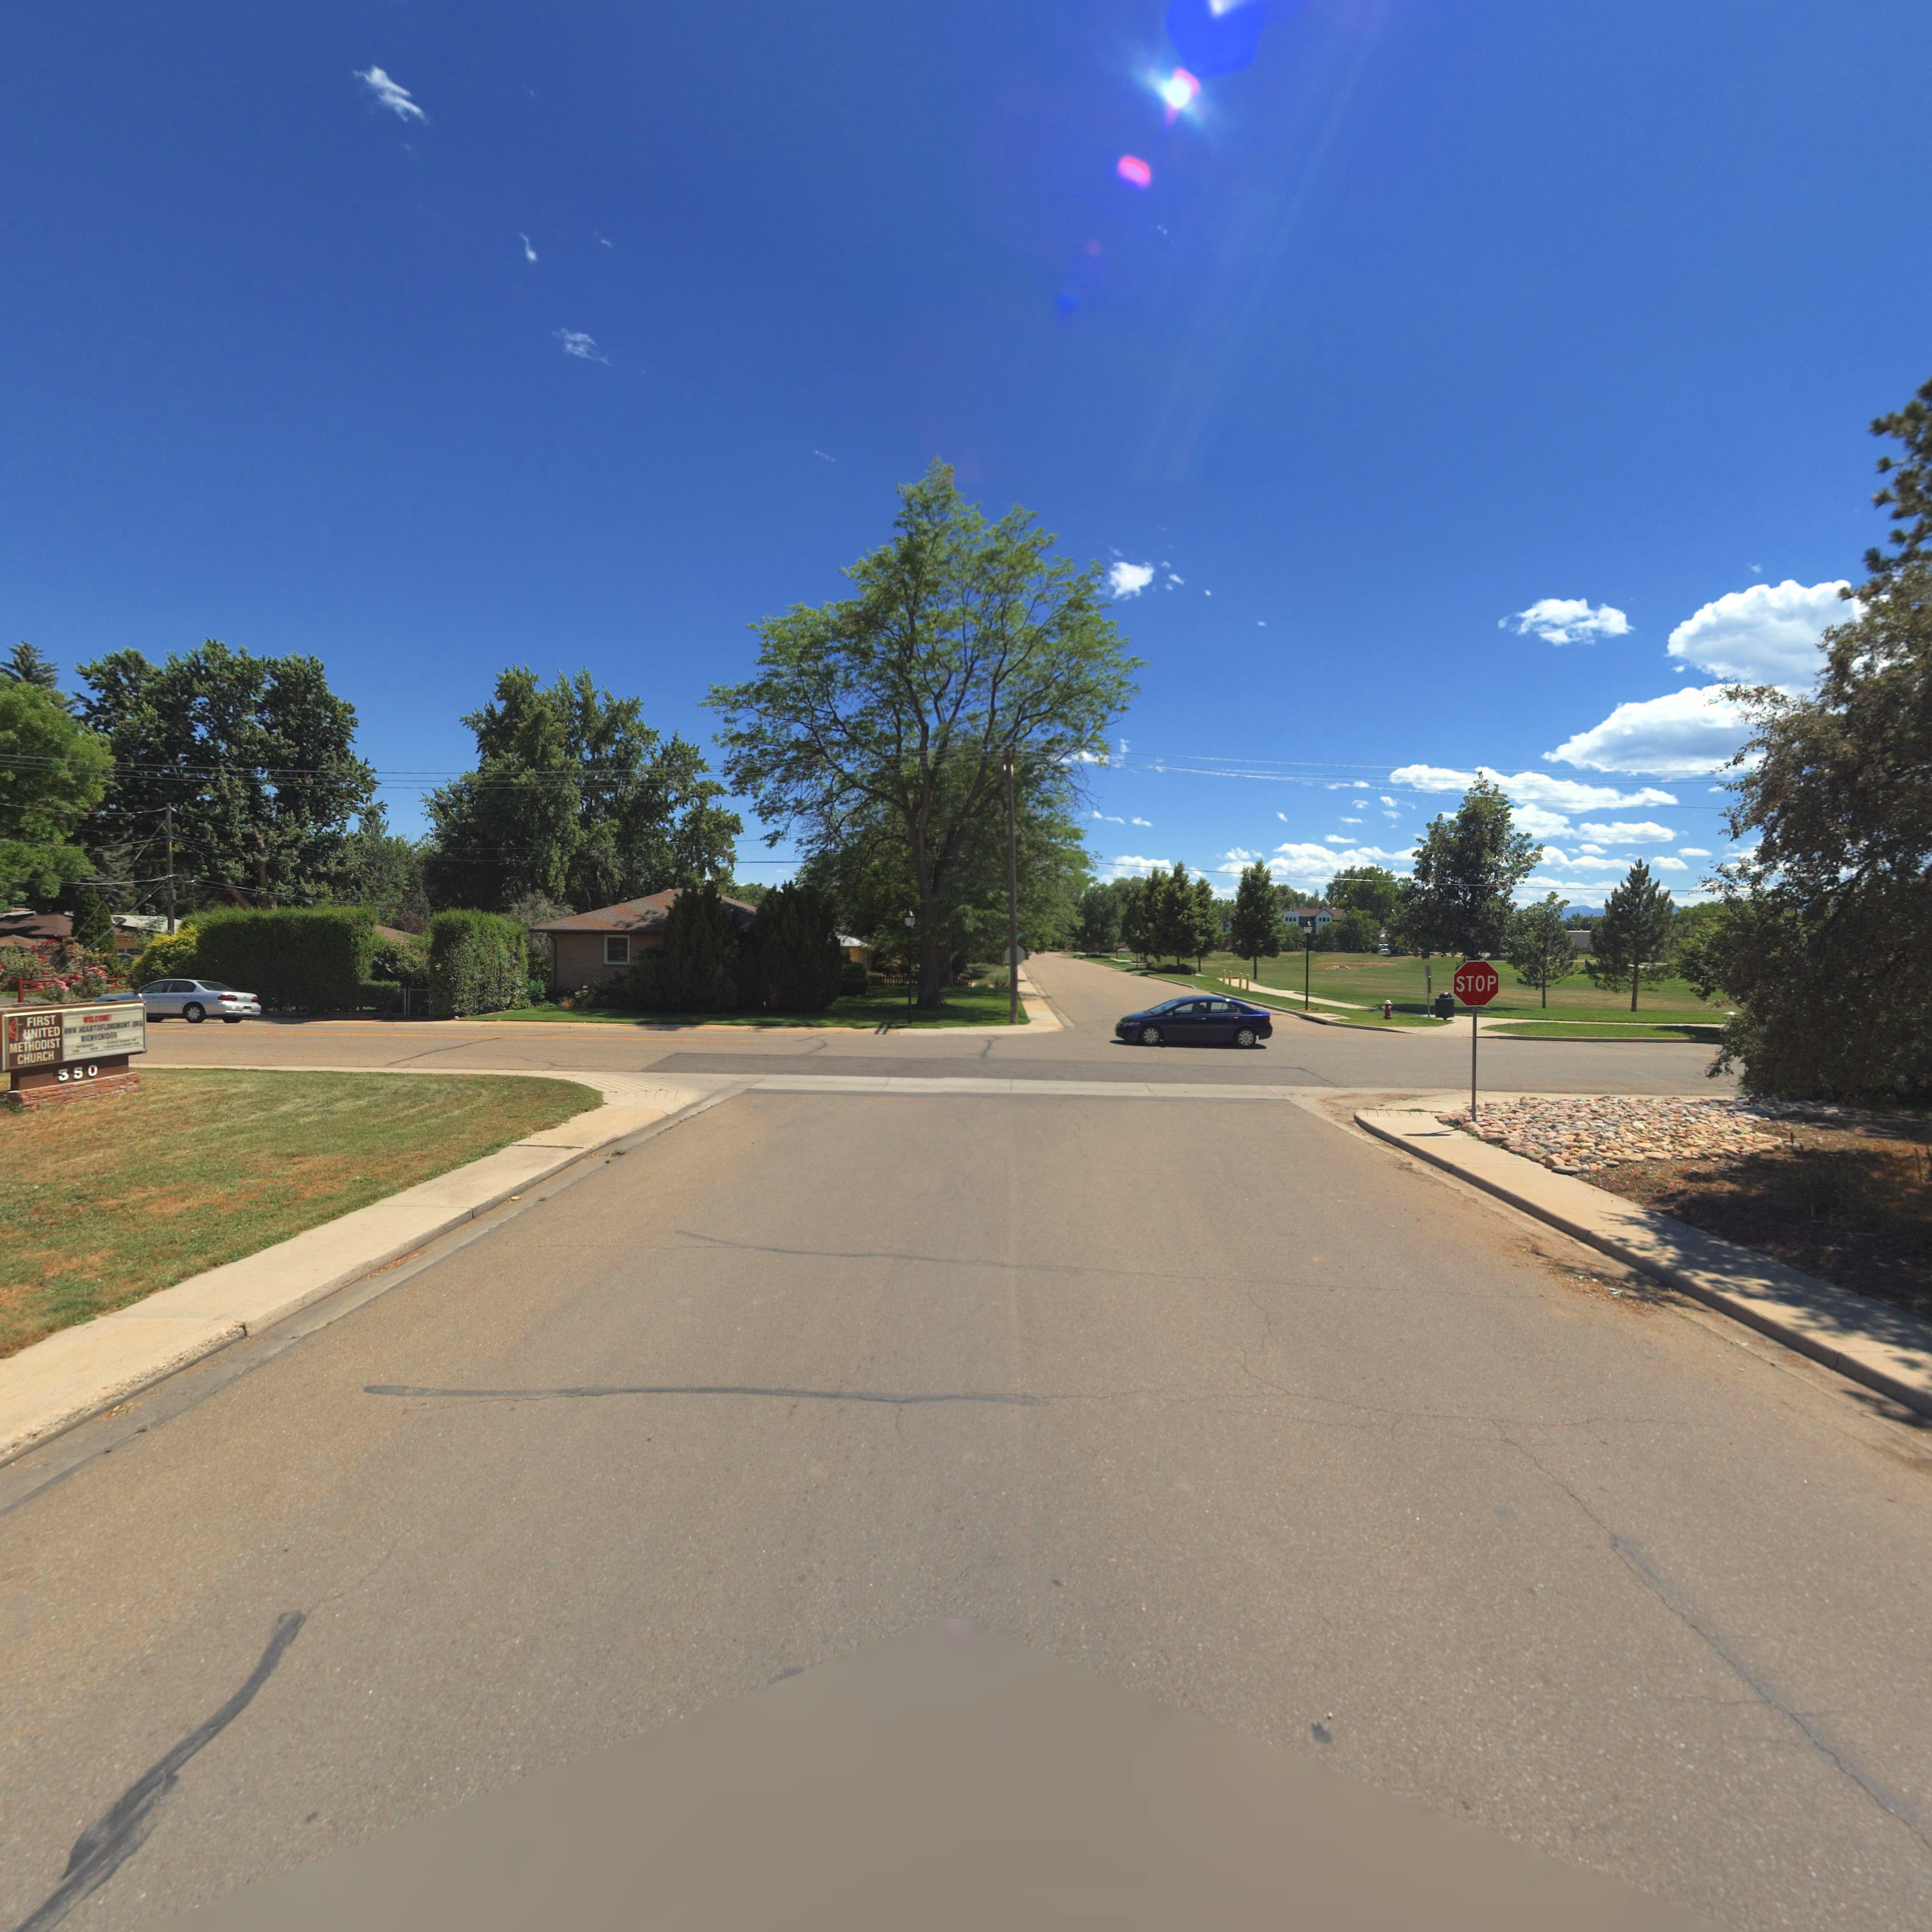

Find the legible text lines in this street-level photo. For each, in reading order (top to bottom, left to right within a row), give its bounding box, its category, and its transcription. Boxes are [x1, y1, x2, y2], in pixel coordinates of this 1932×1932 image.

[27, 1014, 56, 1028] BusinessName: FIRST
[23, 1025, 60, 1040] BusinessName: **ITED
[9, 1038, 60, 1053] BusinessName: METHODIST
[16, 1050, 54, 1065] BusinessName: CHURCH
[58, 1064, 98, 1081] StreetNumber: 350